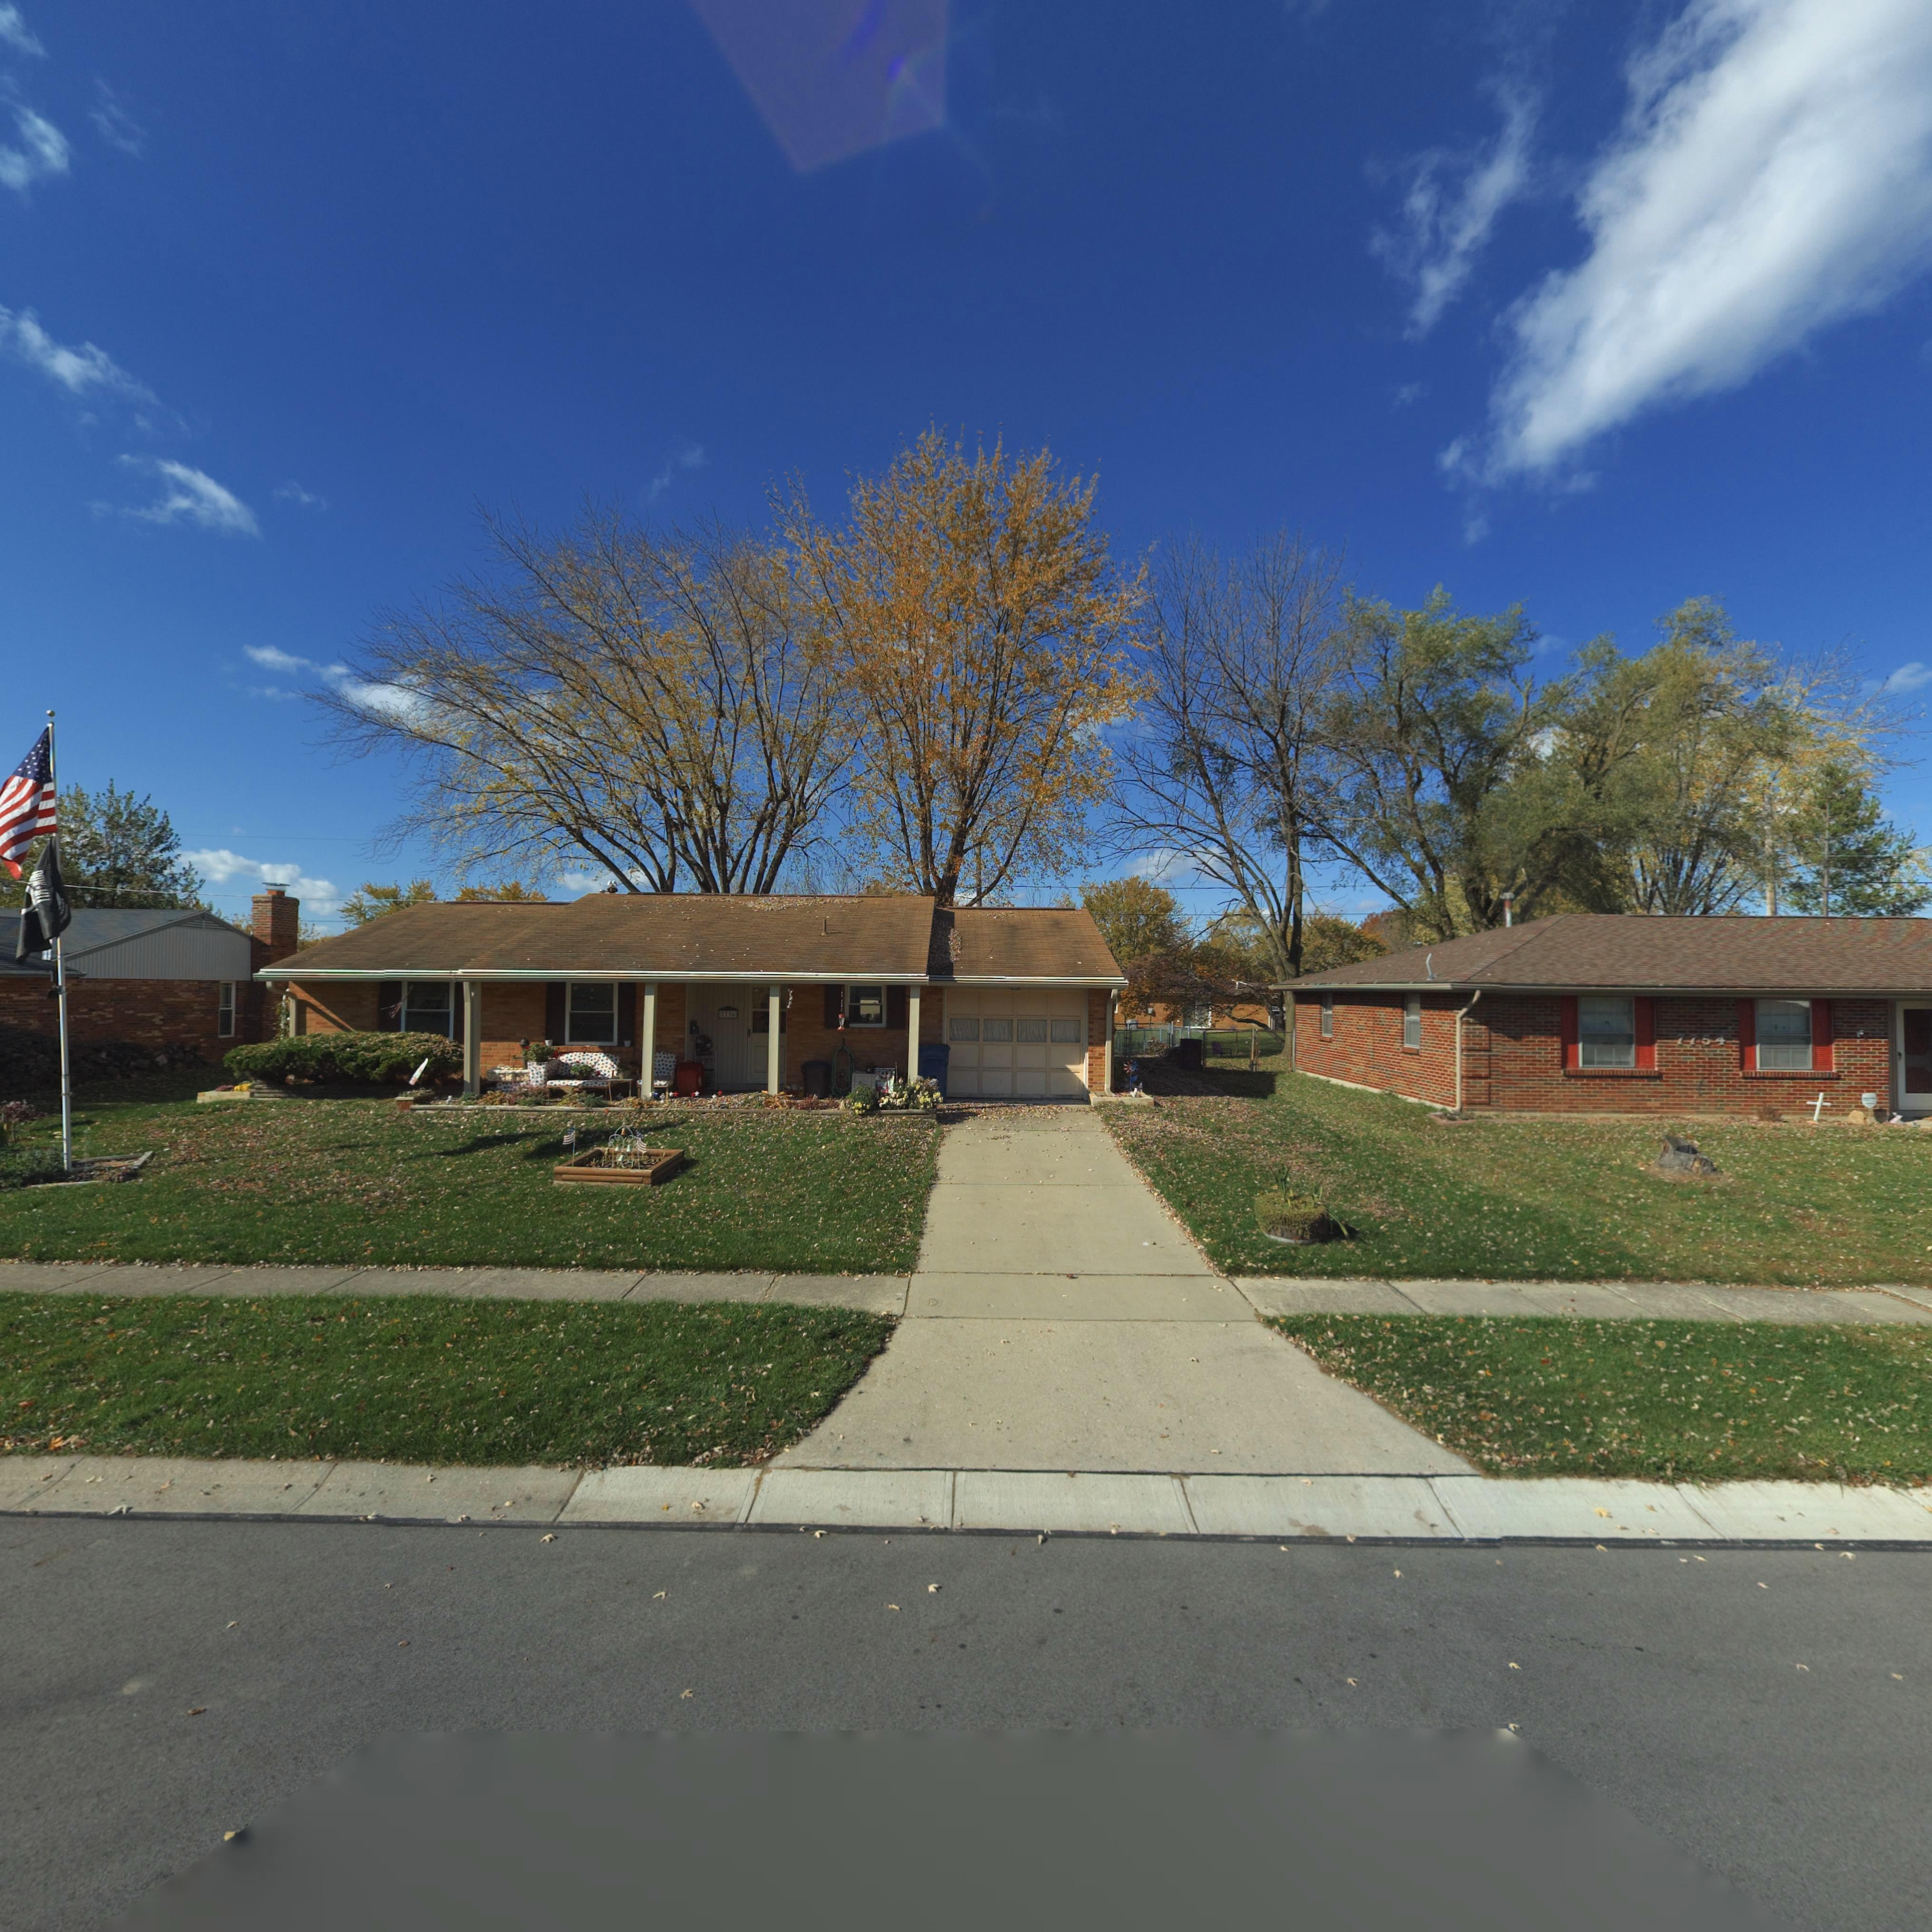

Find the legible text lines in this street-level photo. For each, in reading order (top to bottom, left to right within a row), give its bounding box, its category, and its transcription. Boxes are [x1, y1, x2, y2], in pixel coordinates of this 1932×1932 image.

[721, 1011, 735, 1018] StreetNumber: 7736
[1675, 1032, 1728, 1047] StreetNumber: 7754